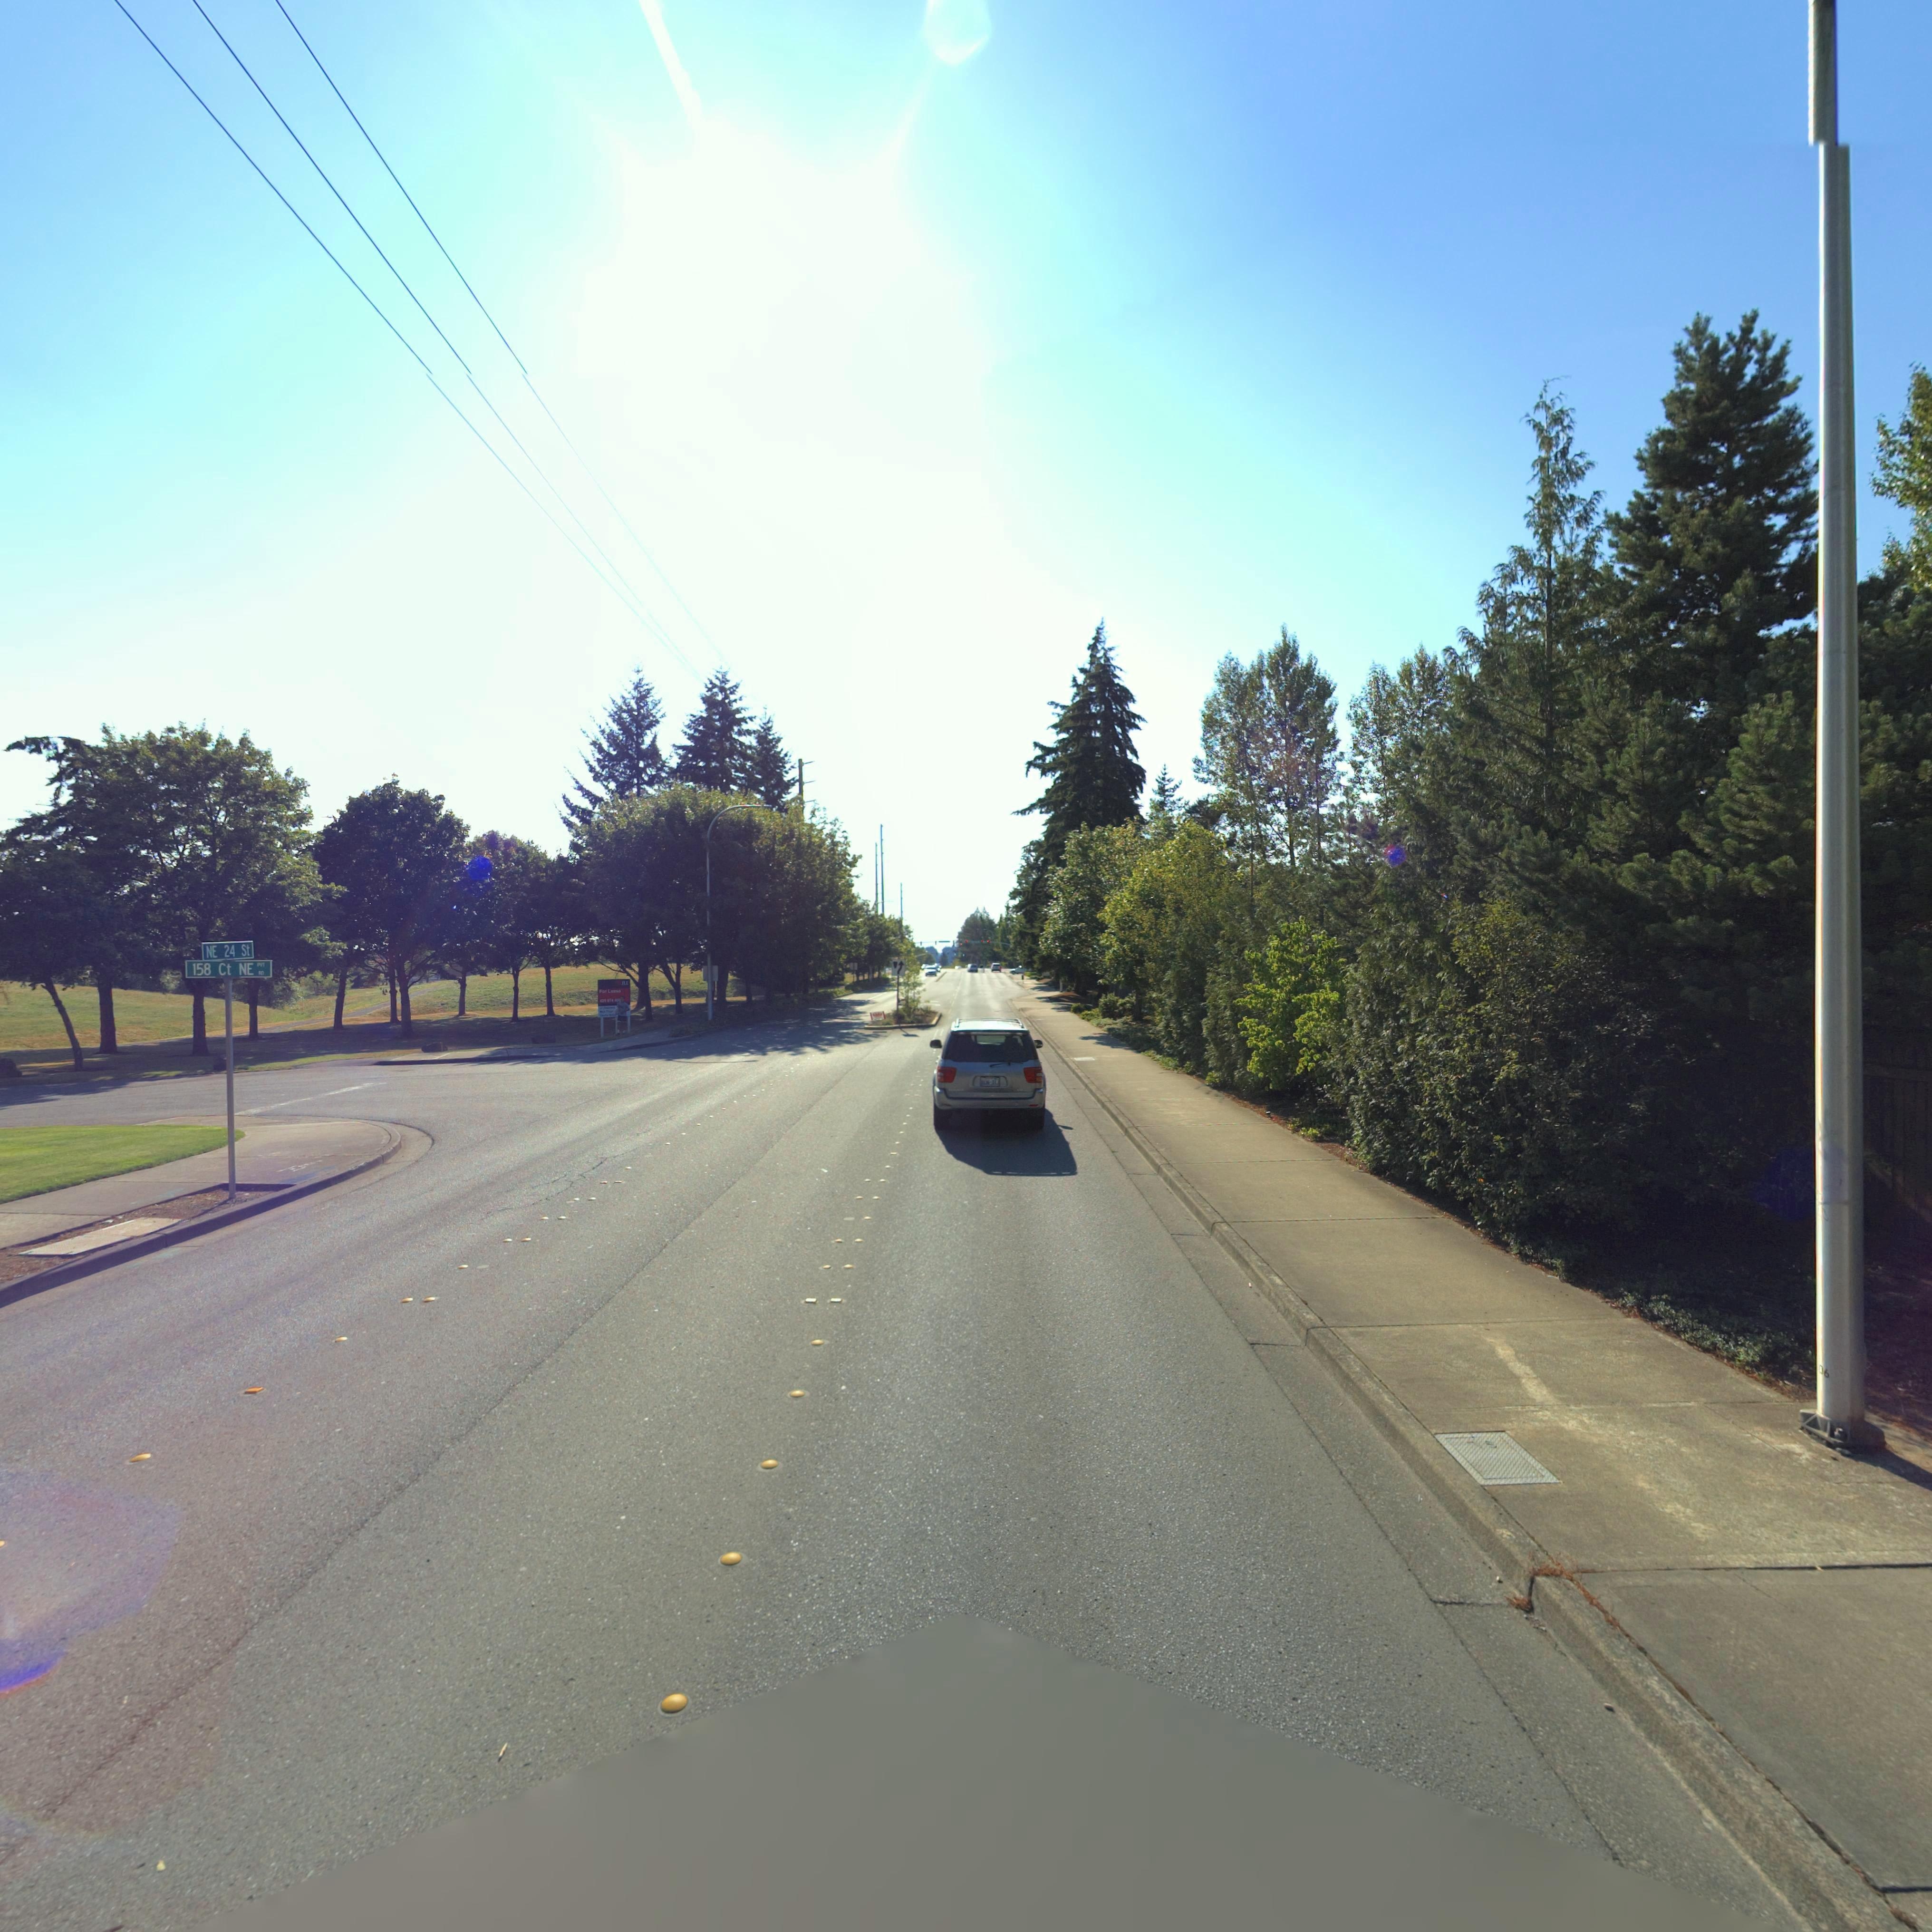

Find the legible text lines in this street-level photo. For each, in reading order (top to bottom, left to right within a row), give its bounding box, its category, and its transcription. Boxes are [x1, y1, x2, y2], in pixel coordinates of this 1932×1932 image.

[204, 943, 251, 959] StreetNumber: NE 24 St
[192, 962, 255, 976] StreetName: 158 Ct NE